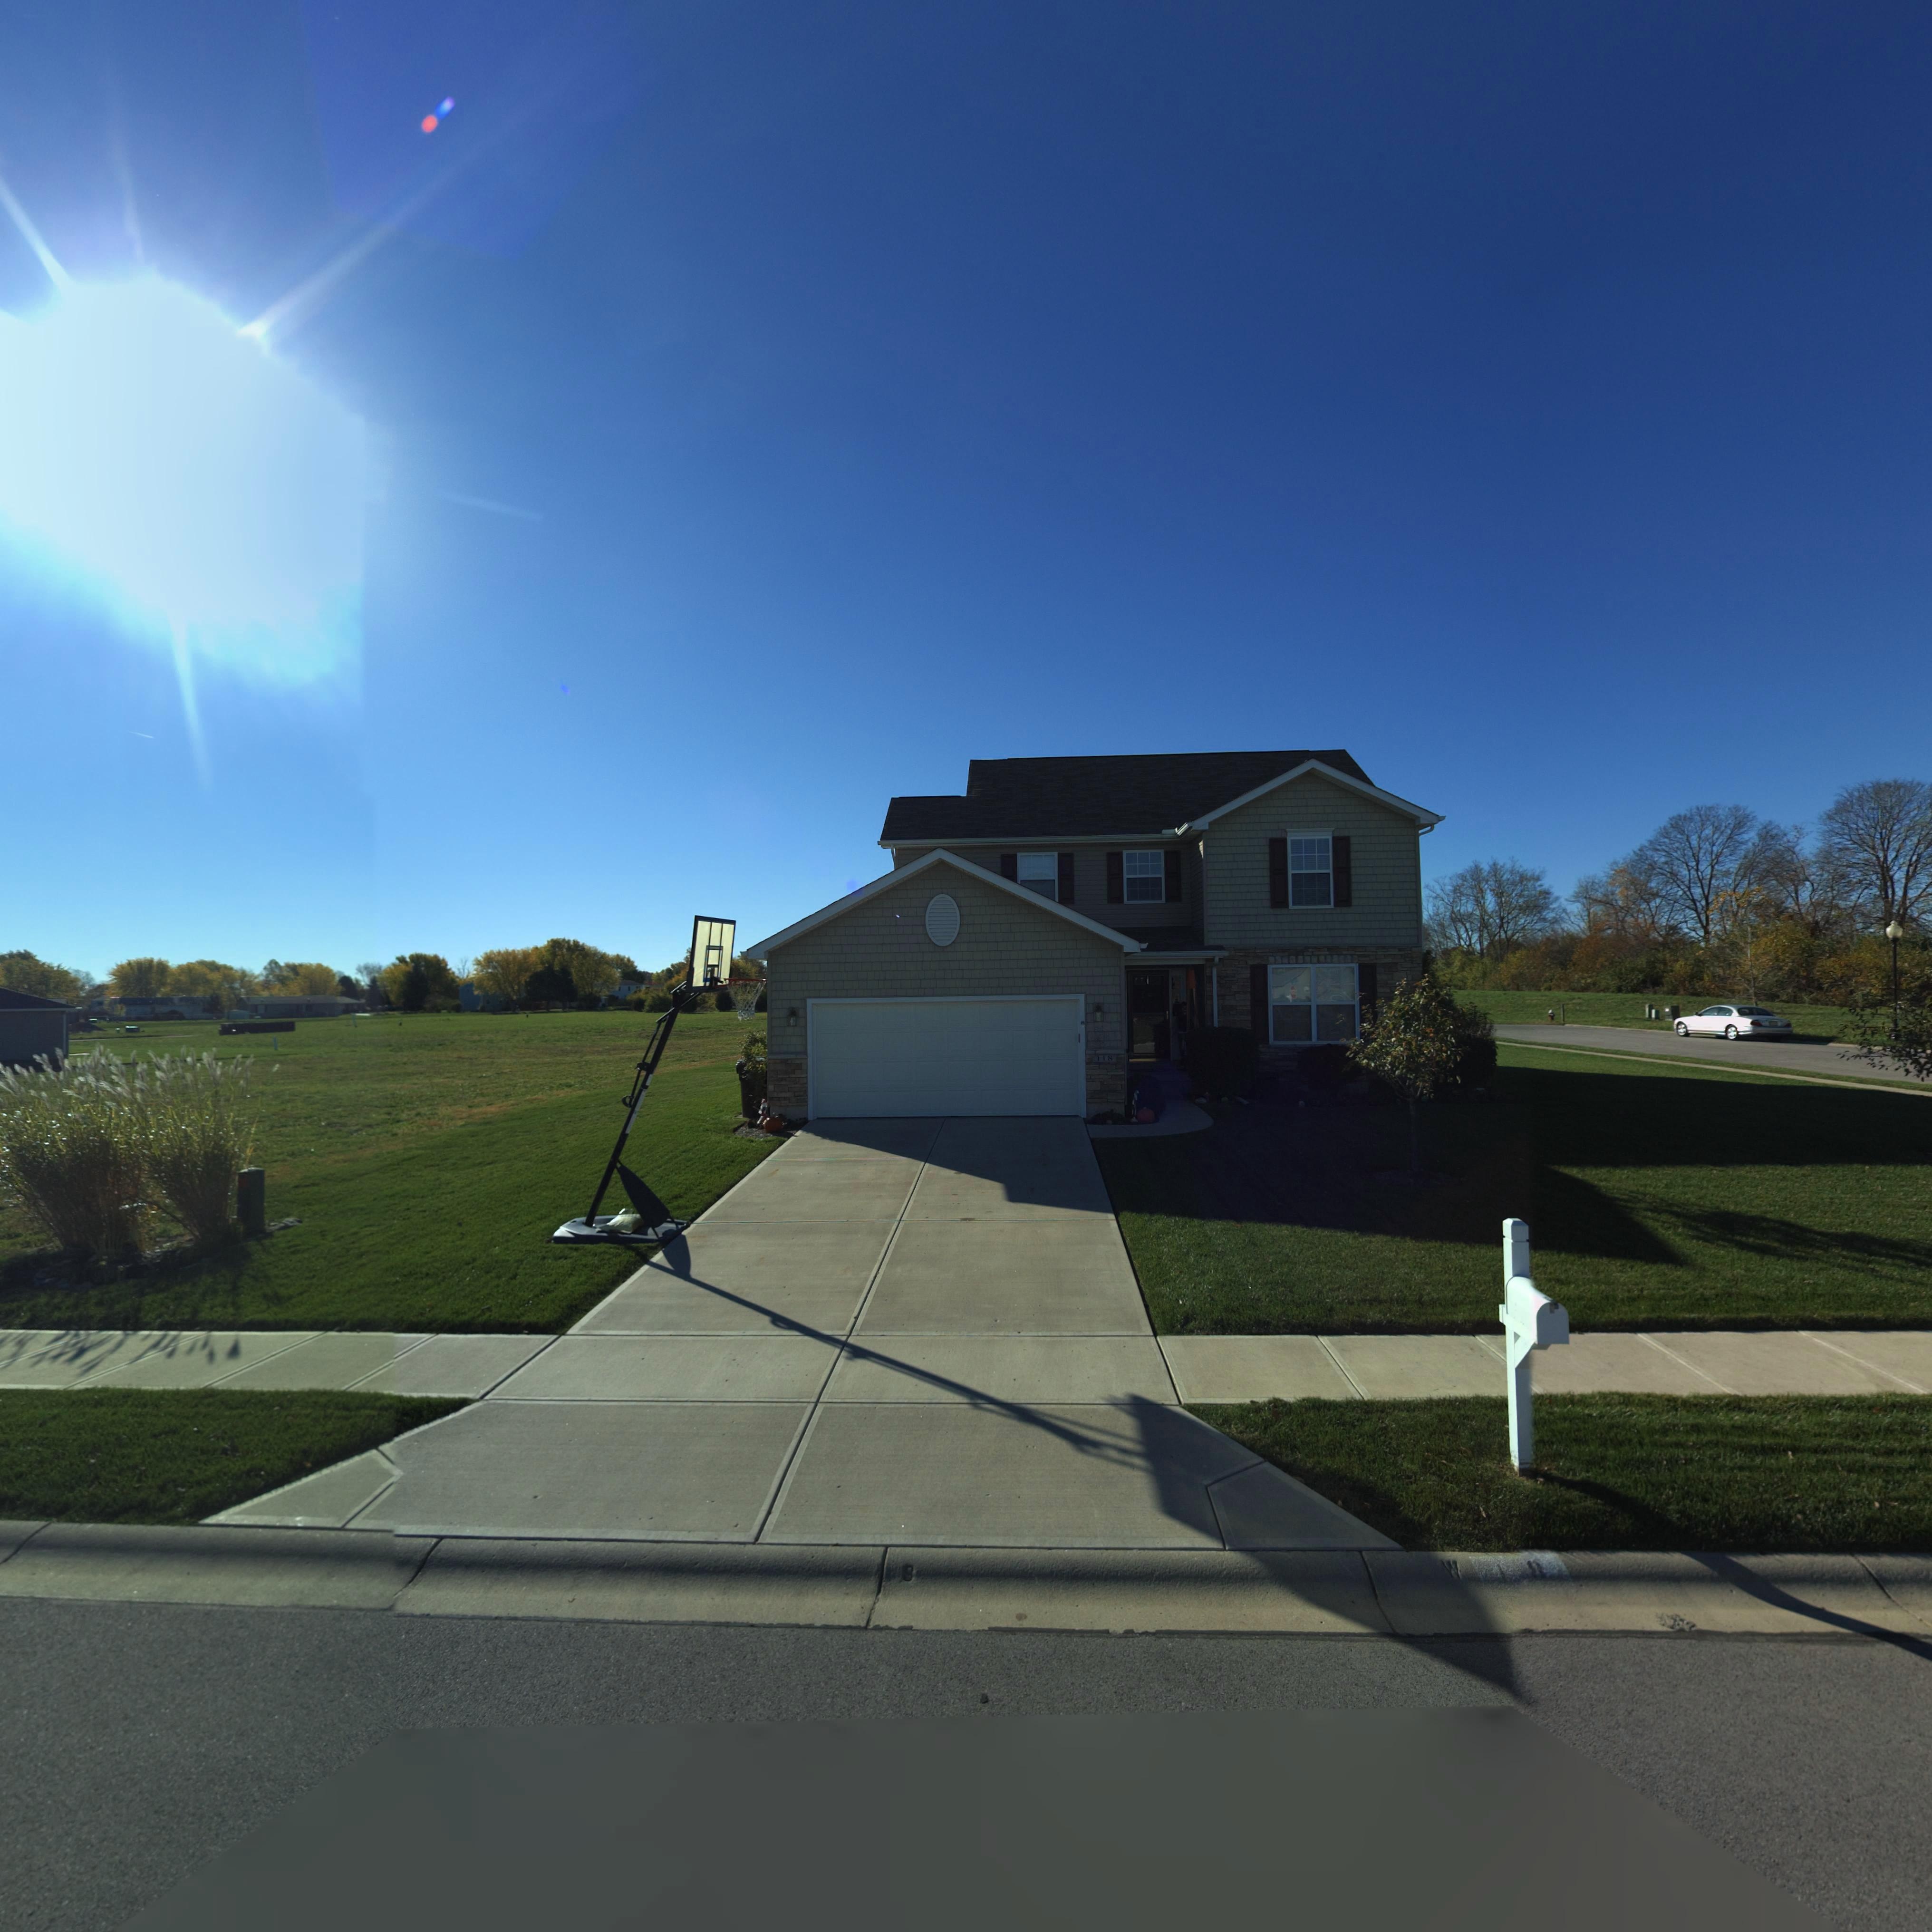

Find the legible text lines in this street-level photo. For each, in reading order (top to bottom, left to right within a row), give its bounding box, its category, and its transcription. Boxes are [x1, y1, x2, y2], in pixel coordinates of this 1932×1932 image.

[1096, 1055, 1113, 1062] StreetNumber: 118
[1495, 1558, 1550, 1584] StreetNumber: 1*8